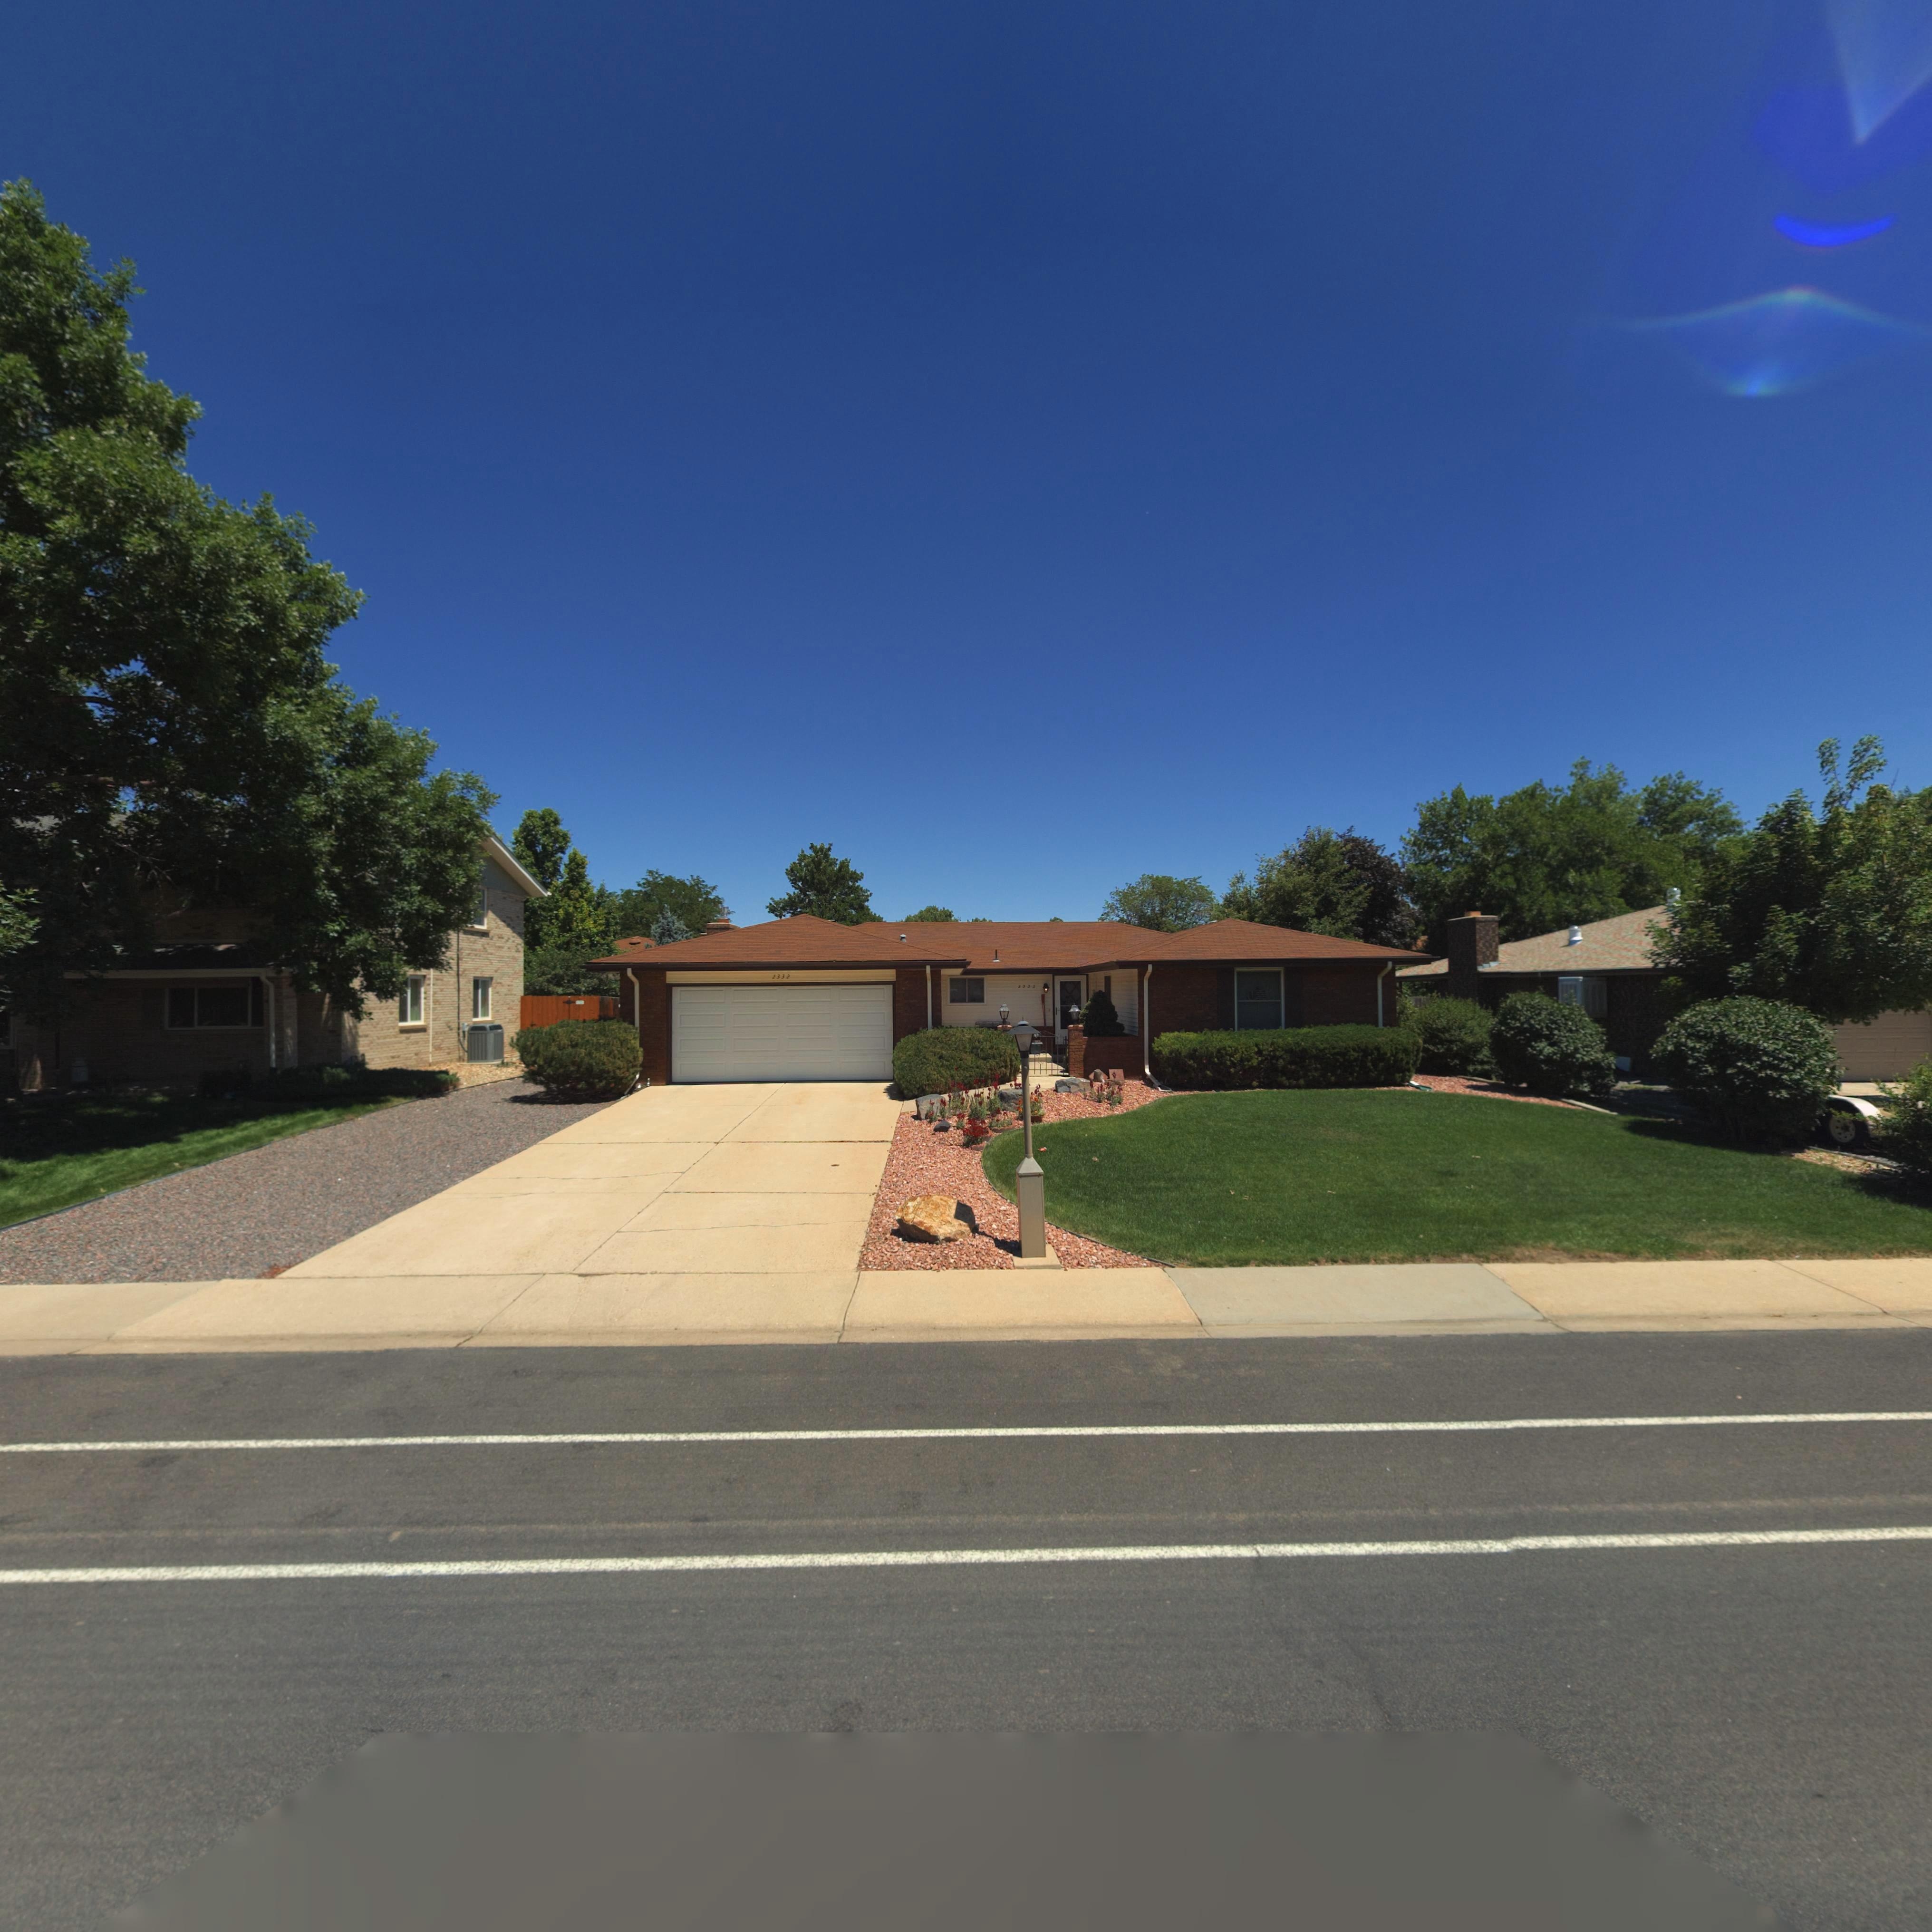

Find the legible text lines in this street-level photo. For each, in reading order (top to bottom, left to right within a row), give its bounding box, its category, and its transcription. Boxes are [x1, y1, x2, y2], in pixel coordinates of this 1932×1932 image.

[772, 974, 790, 979] StreetNumber: 2332
[1017, 985, 1035, 988] StreetNumber: 2332